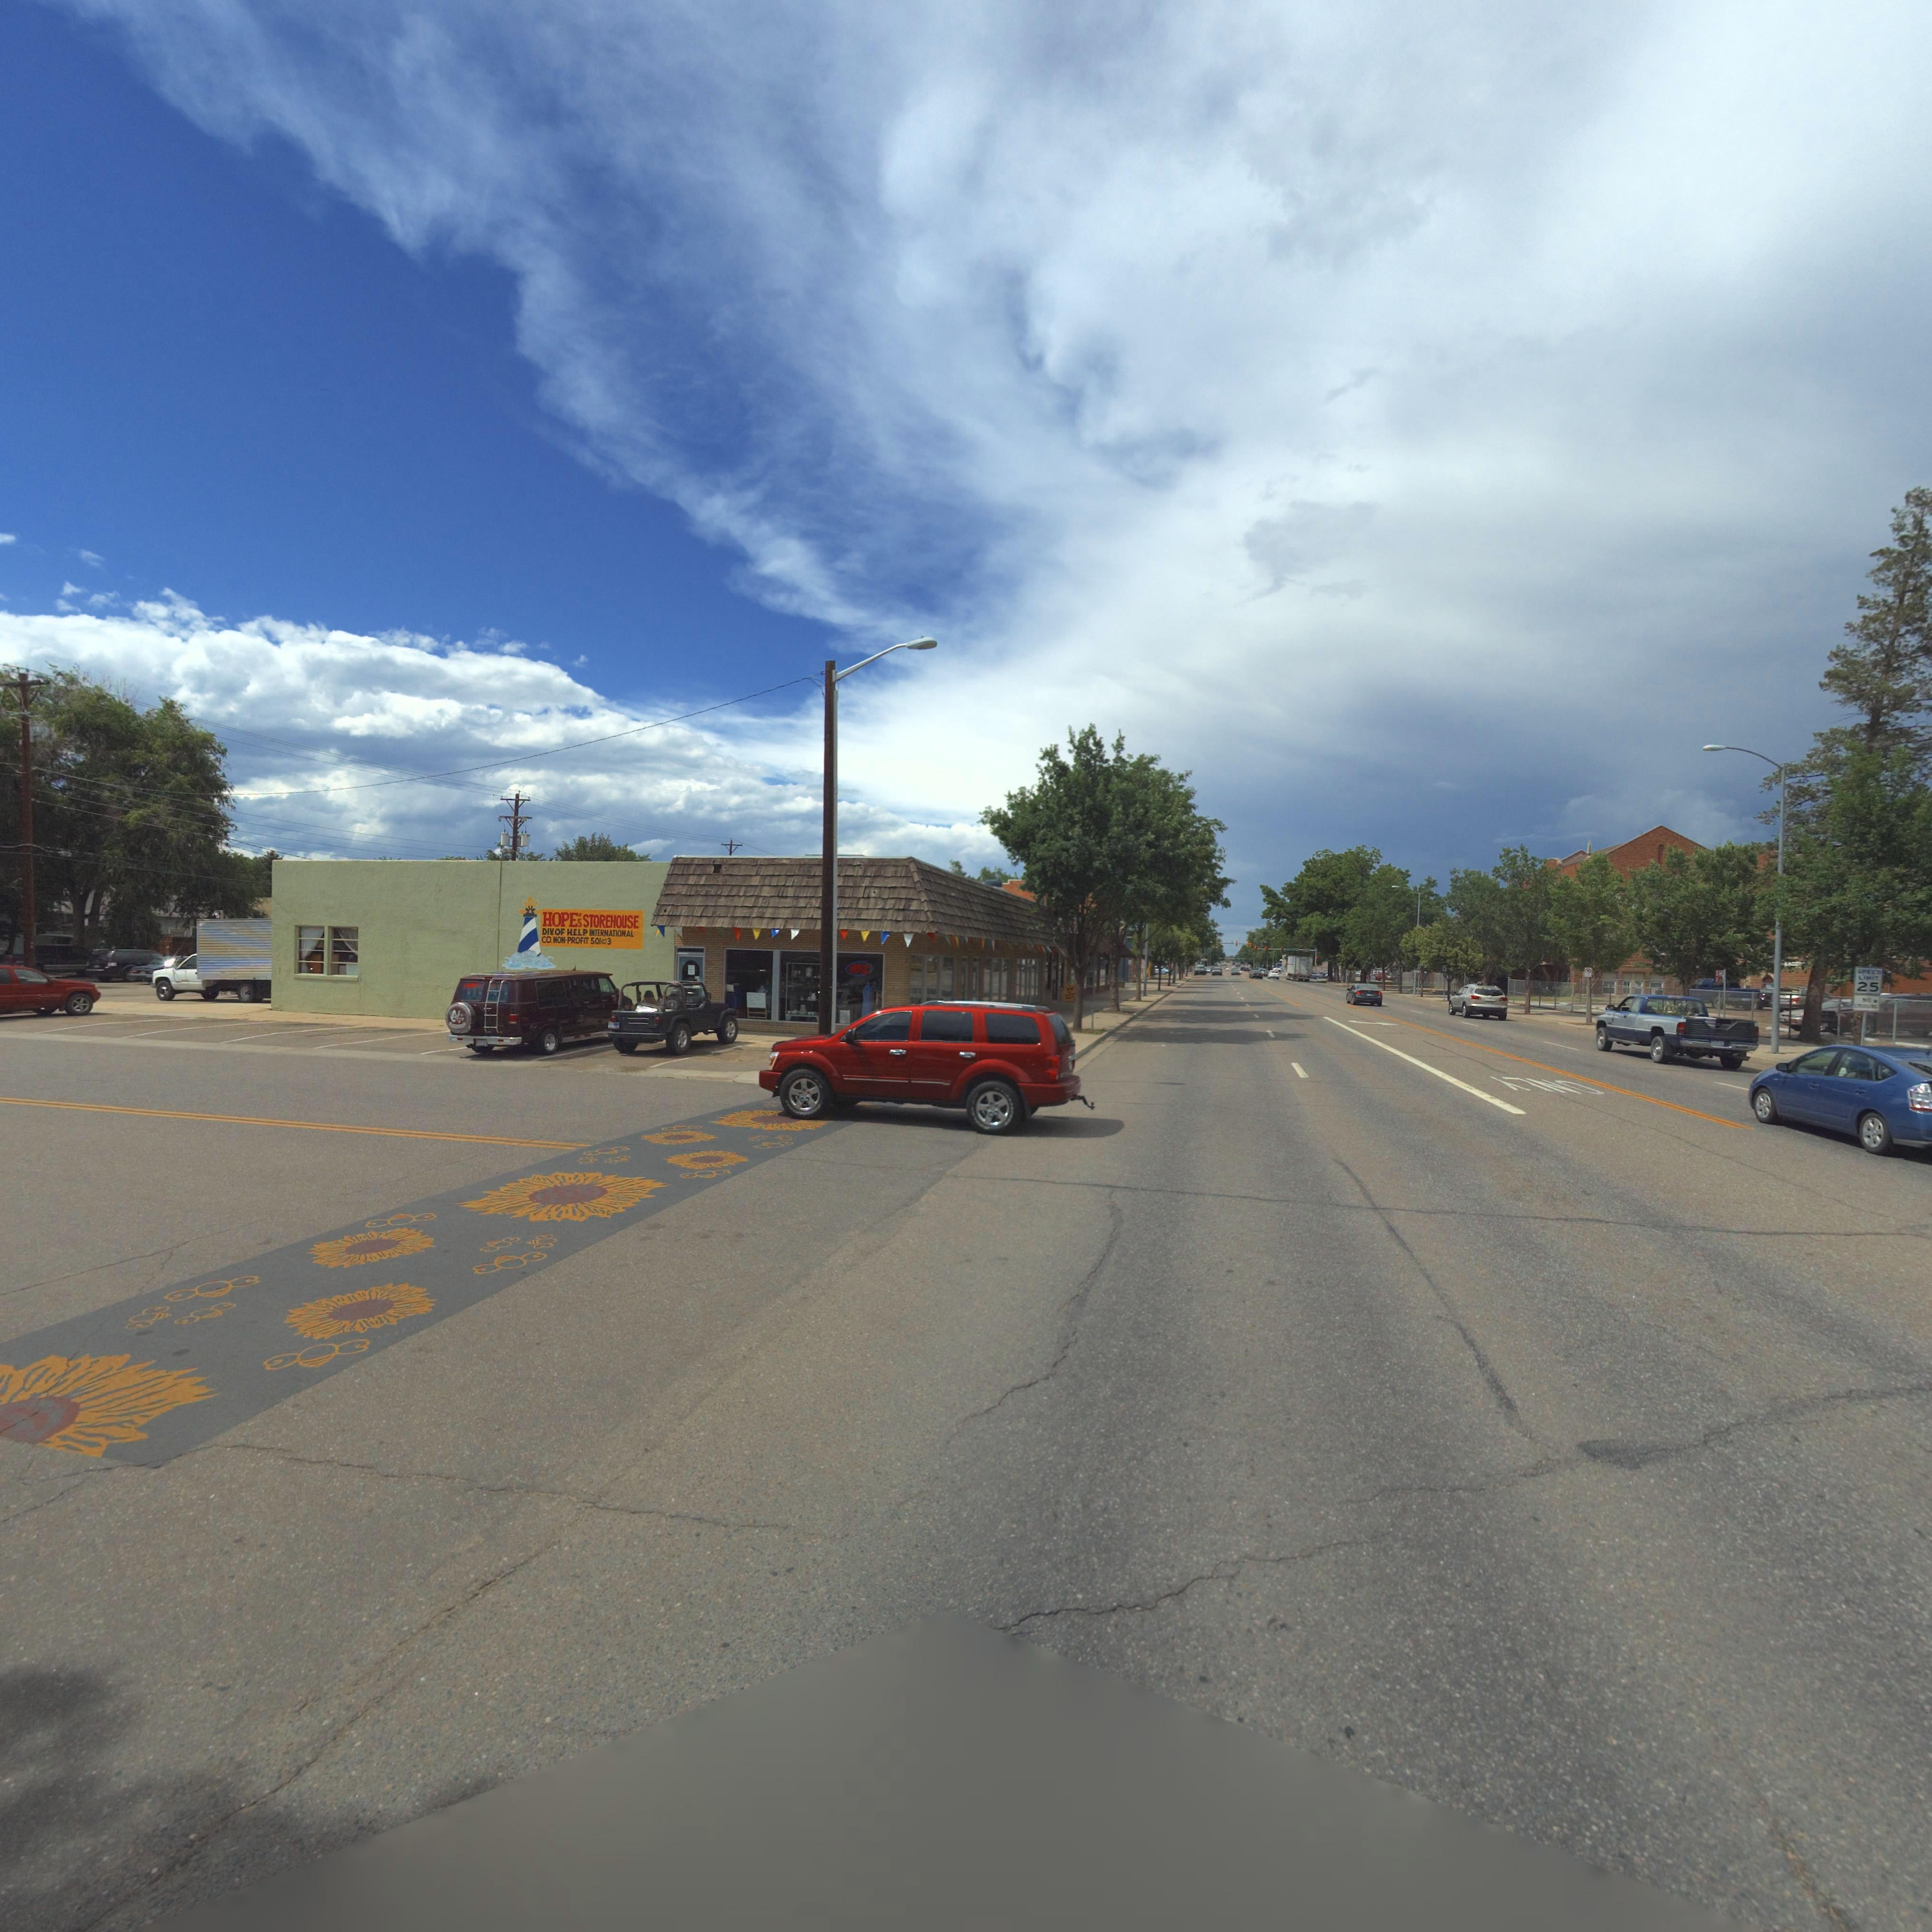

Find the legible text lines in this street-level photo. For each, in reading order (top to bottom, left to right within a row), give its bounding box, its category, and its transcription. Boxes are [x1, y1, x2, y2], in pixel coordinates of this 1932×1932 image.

[542, 911, 639, 929] BusinessName: HOPE's STOREHOUSE